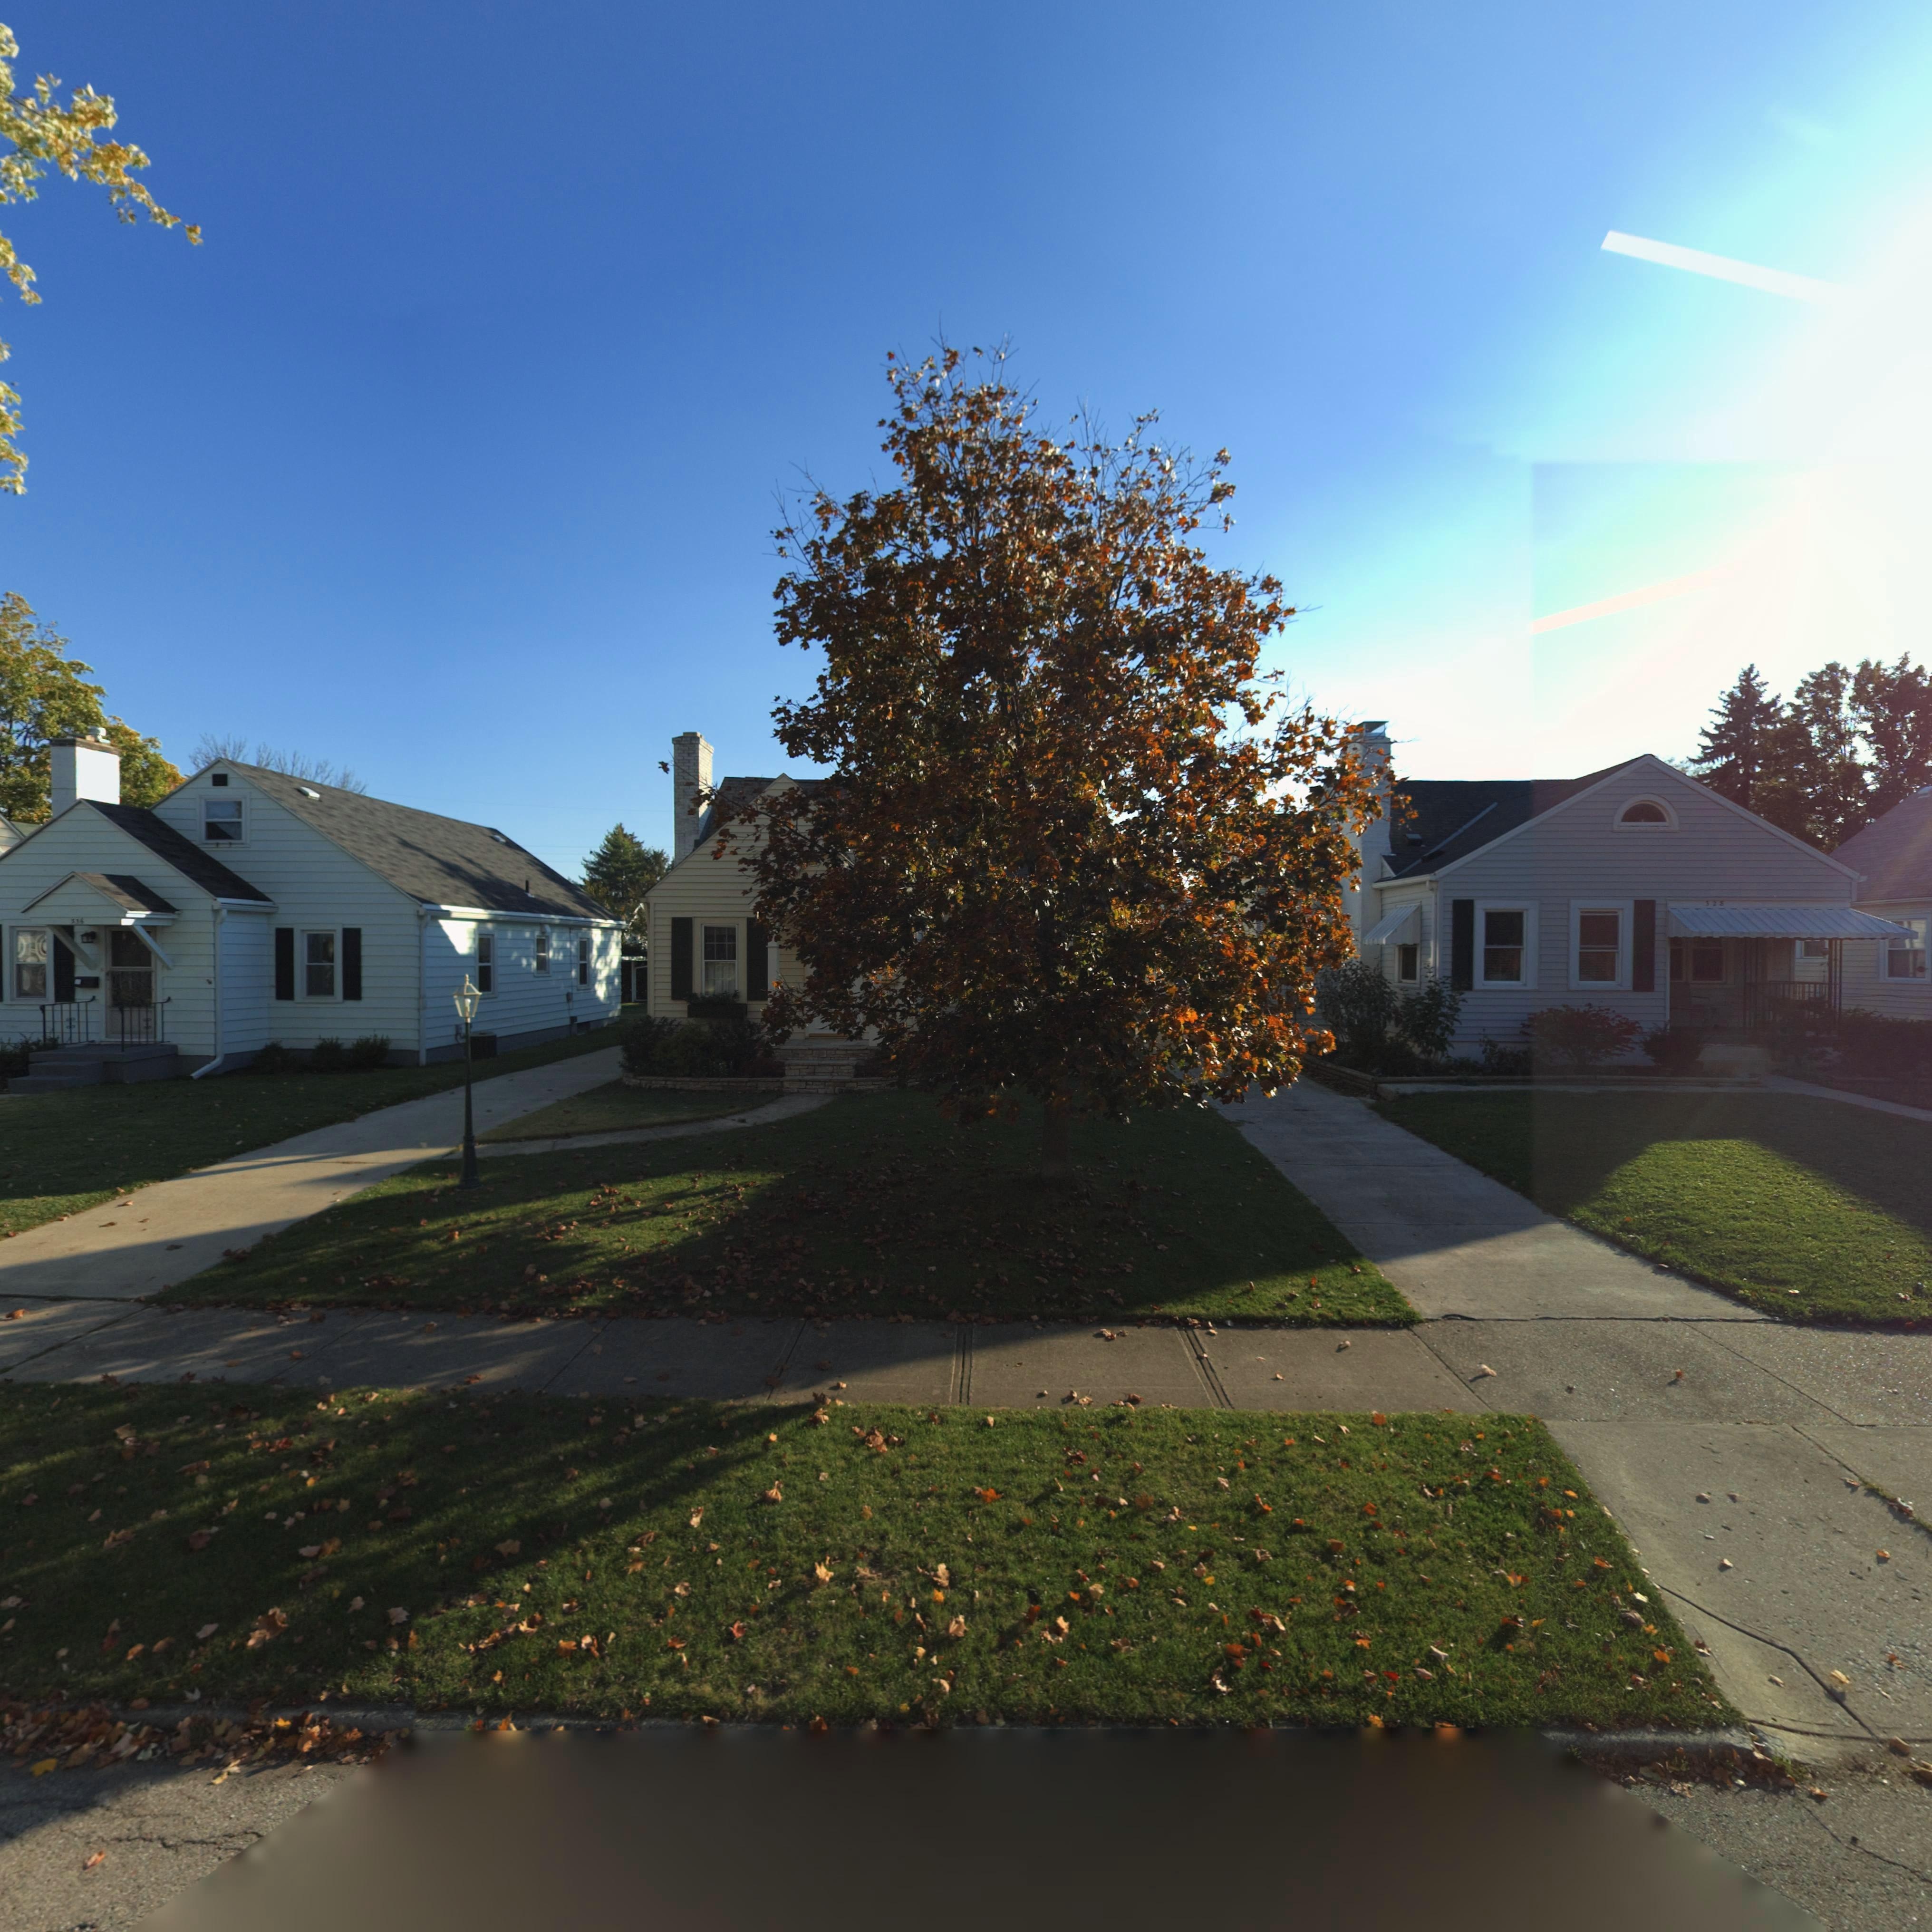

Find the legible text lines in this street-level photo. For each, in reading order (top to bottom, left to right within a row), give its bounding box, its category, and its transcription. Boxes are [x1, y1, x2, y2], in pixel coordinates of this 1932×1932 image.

[1703, 900, 1724, 907] StreetNumber: 328
[68, 917, 85, 924] StreetNumber: 336